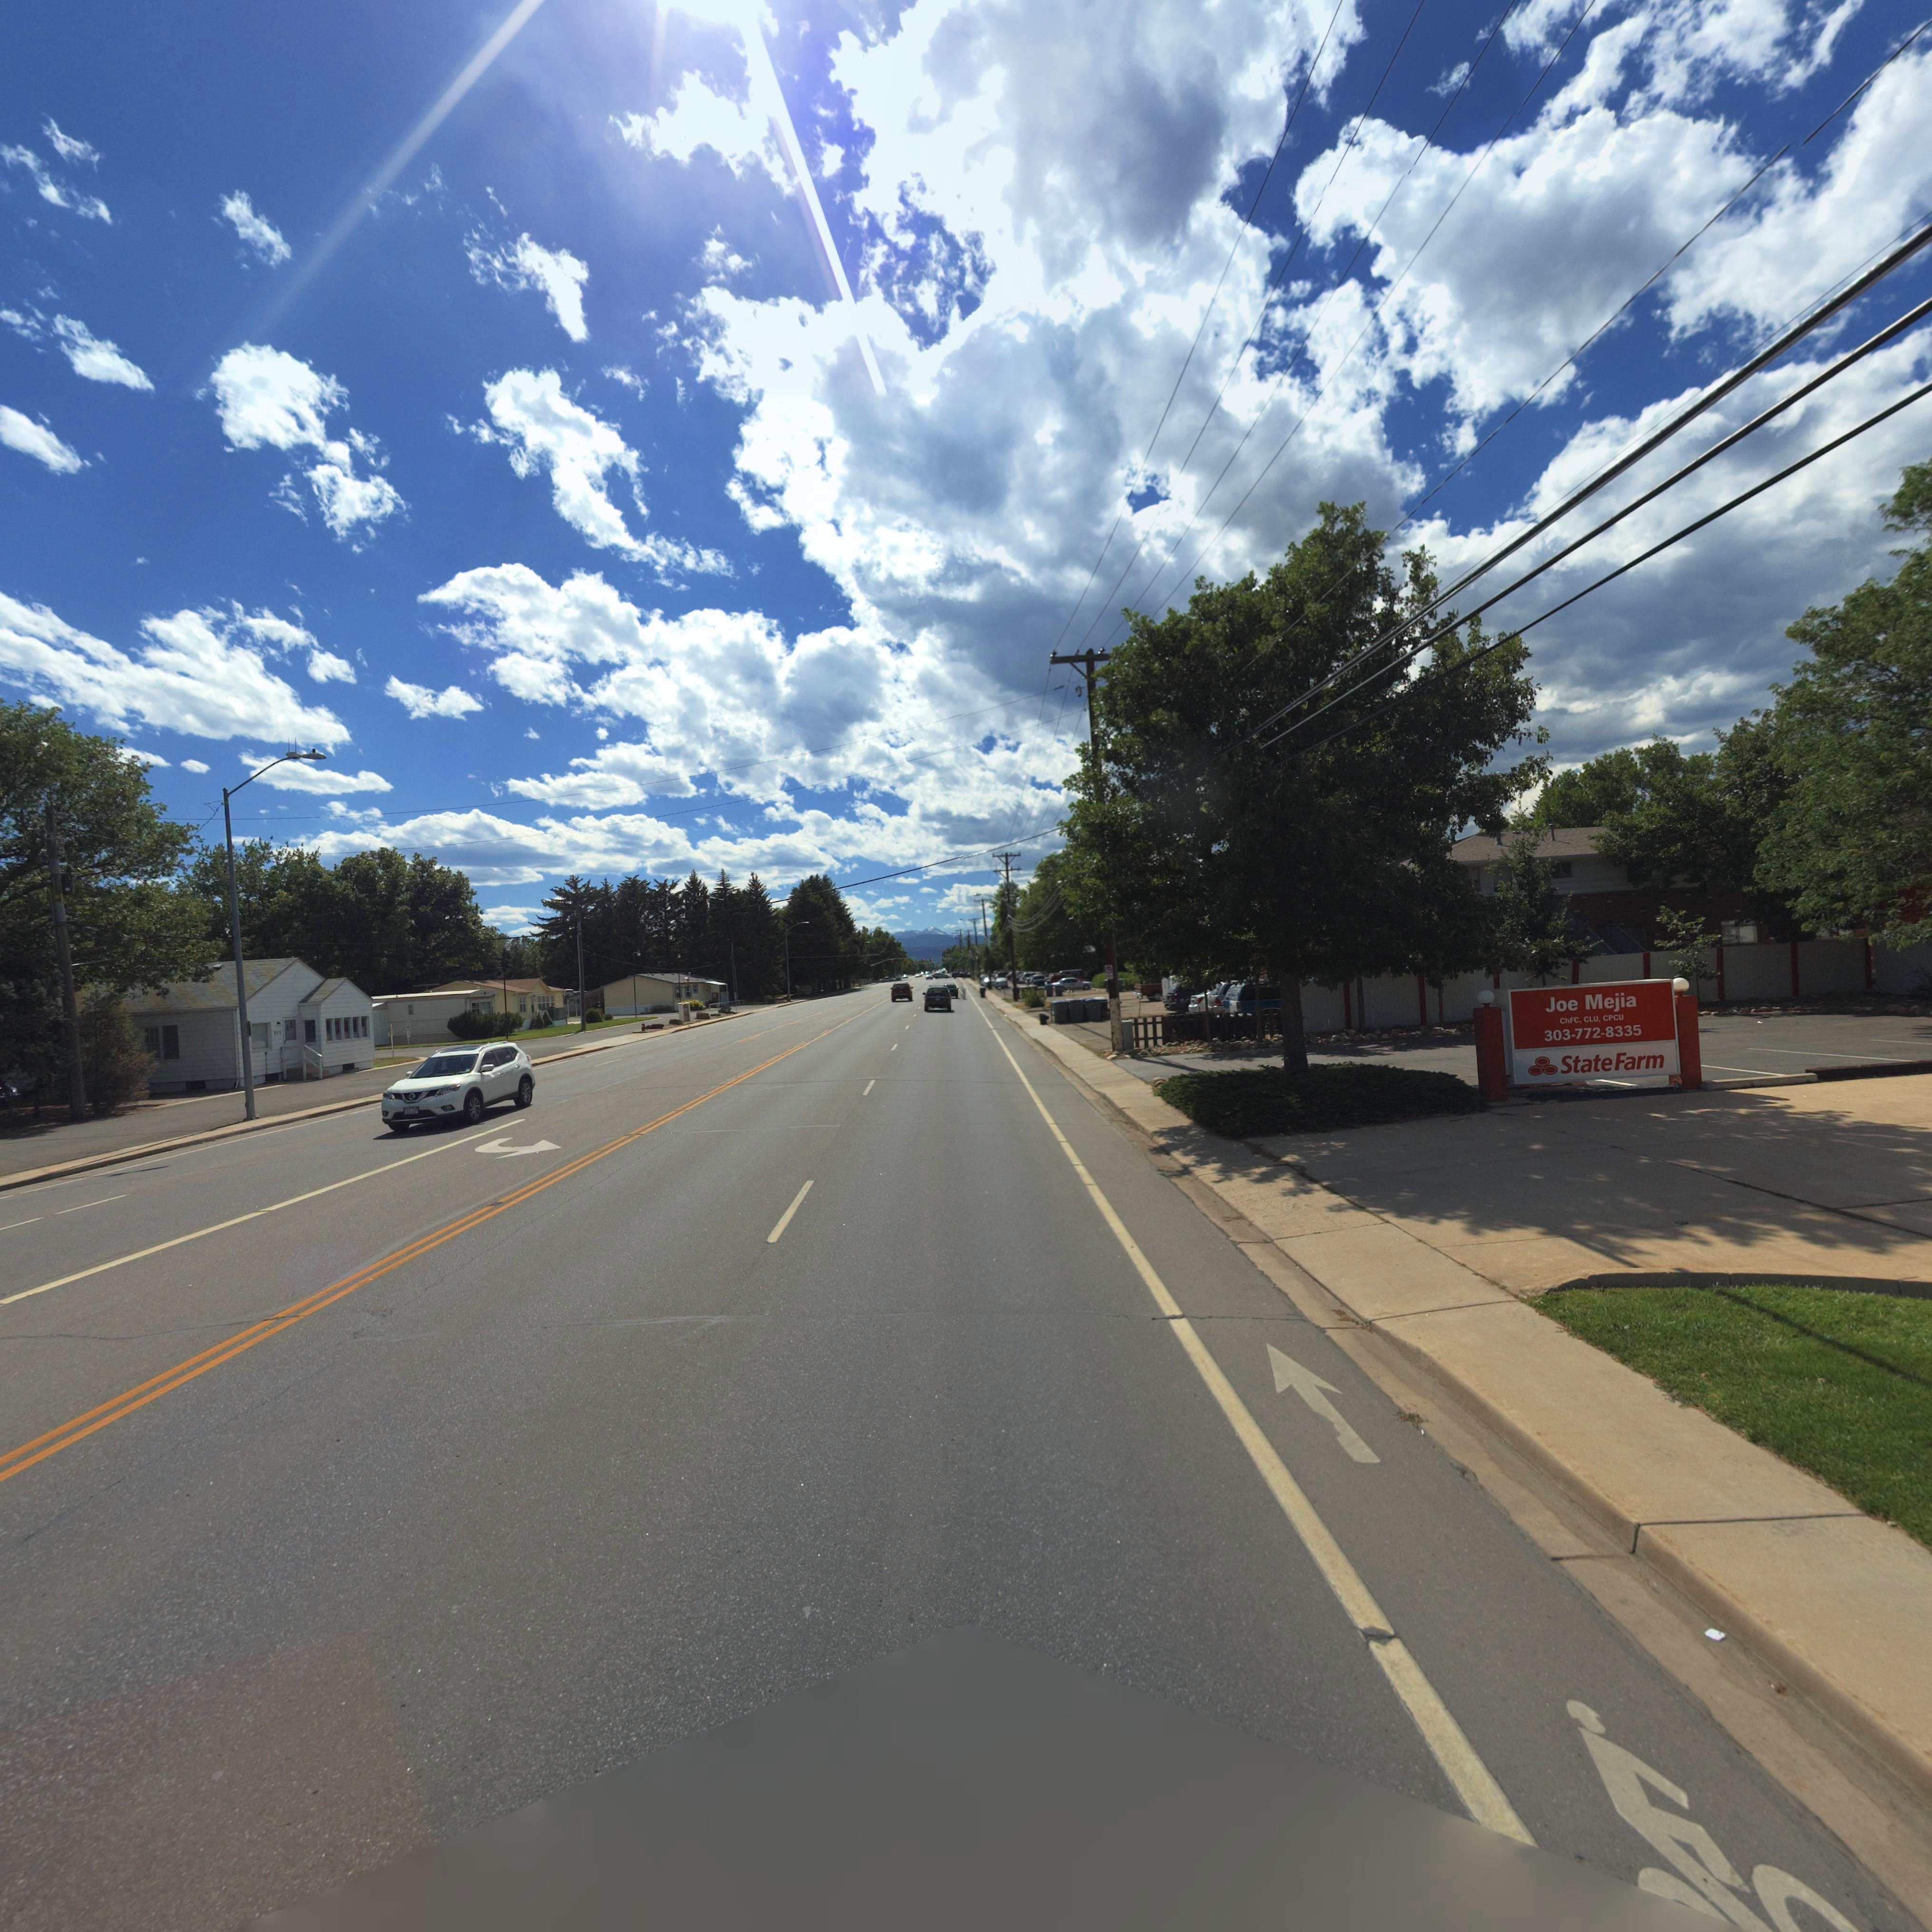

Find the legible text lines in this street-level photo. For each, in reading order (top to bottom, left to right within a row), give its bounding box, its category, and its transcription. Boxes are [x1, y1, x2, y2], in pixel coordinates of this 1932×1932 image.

[274, 1030, 281, 1034] StreetNumber: *29
[1559, 1051, 1665, 1075] BusinessName: State Farm